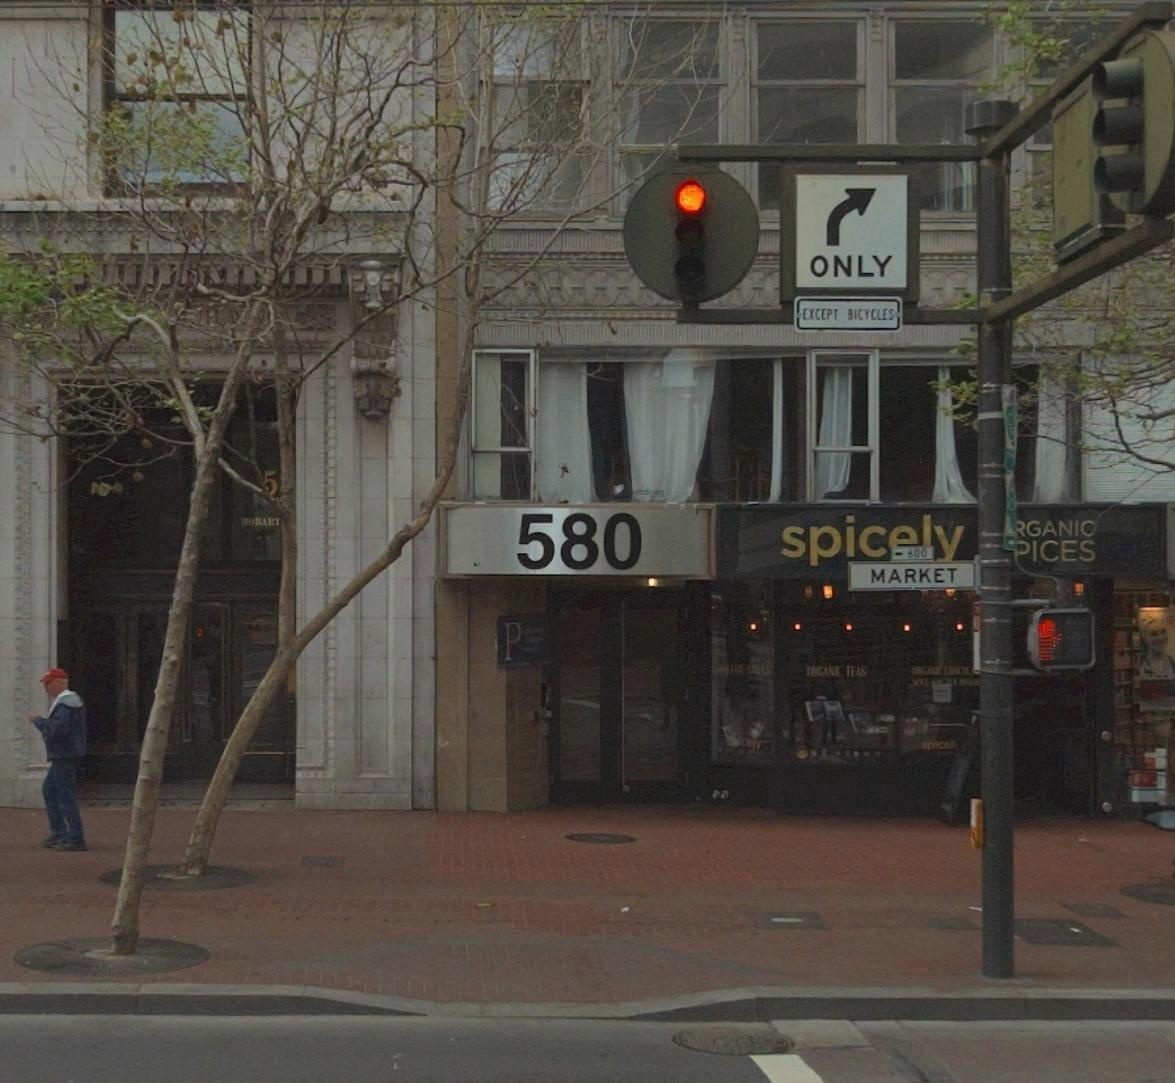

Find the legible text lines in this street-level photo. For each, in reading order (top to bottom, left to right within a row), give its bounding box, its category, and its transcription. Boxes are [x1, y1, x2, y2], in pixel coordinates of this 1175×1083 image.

[808, 252, 896, 280] None: ONLY
[801, 306, 896, 322] None: EXCEPT BICYCLES
[514, 512, 642, 571] StreetNumber: 580
[779, 512, 890, 568] BusinessName: spic
[893, 547, 929, 559] StreetNumberRange: <-600
[1025, 519, 1098, 539] None: GANIC
[1030, 538, 1099, 564] None: ICES
[869, 566, 960, 585] StreetName: MARKET
[503, 619, 522, 664] None: P
[845, 664, 869, 678] None: TEAS